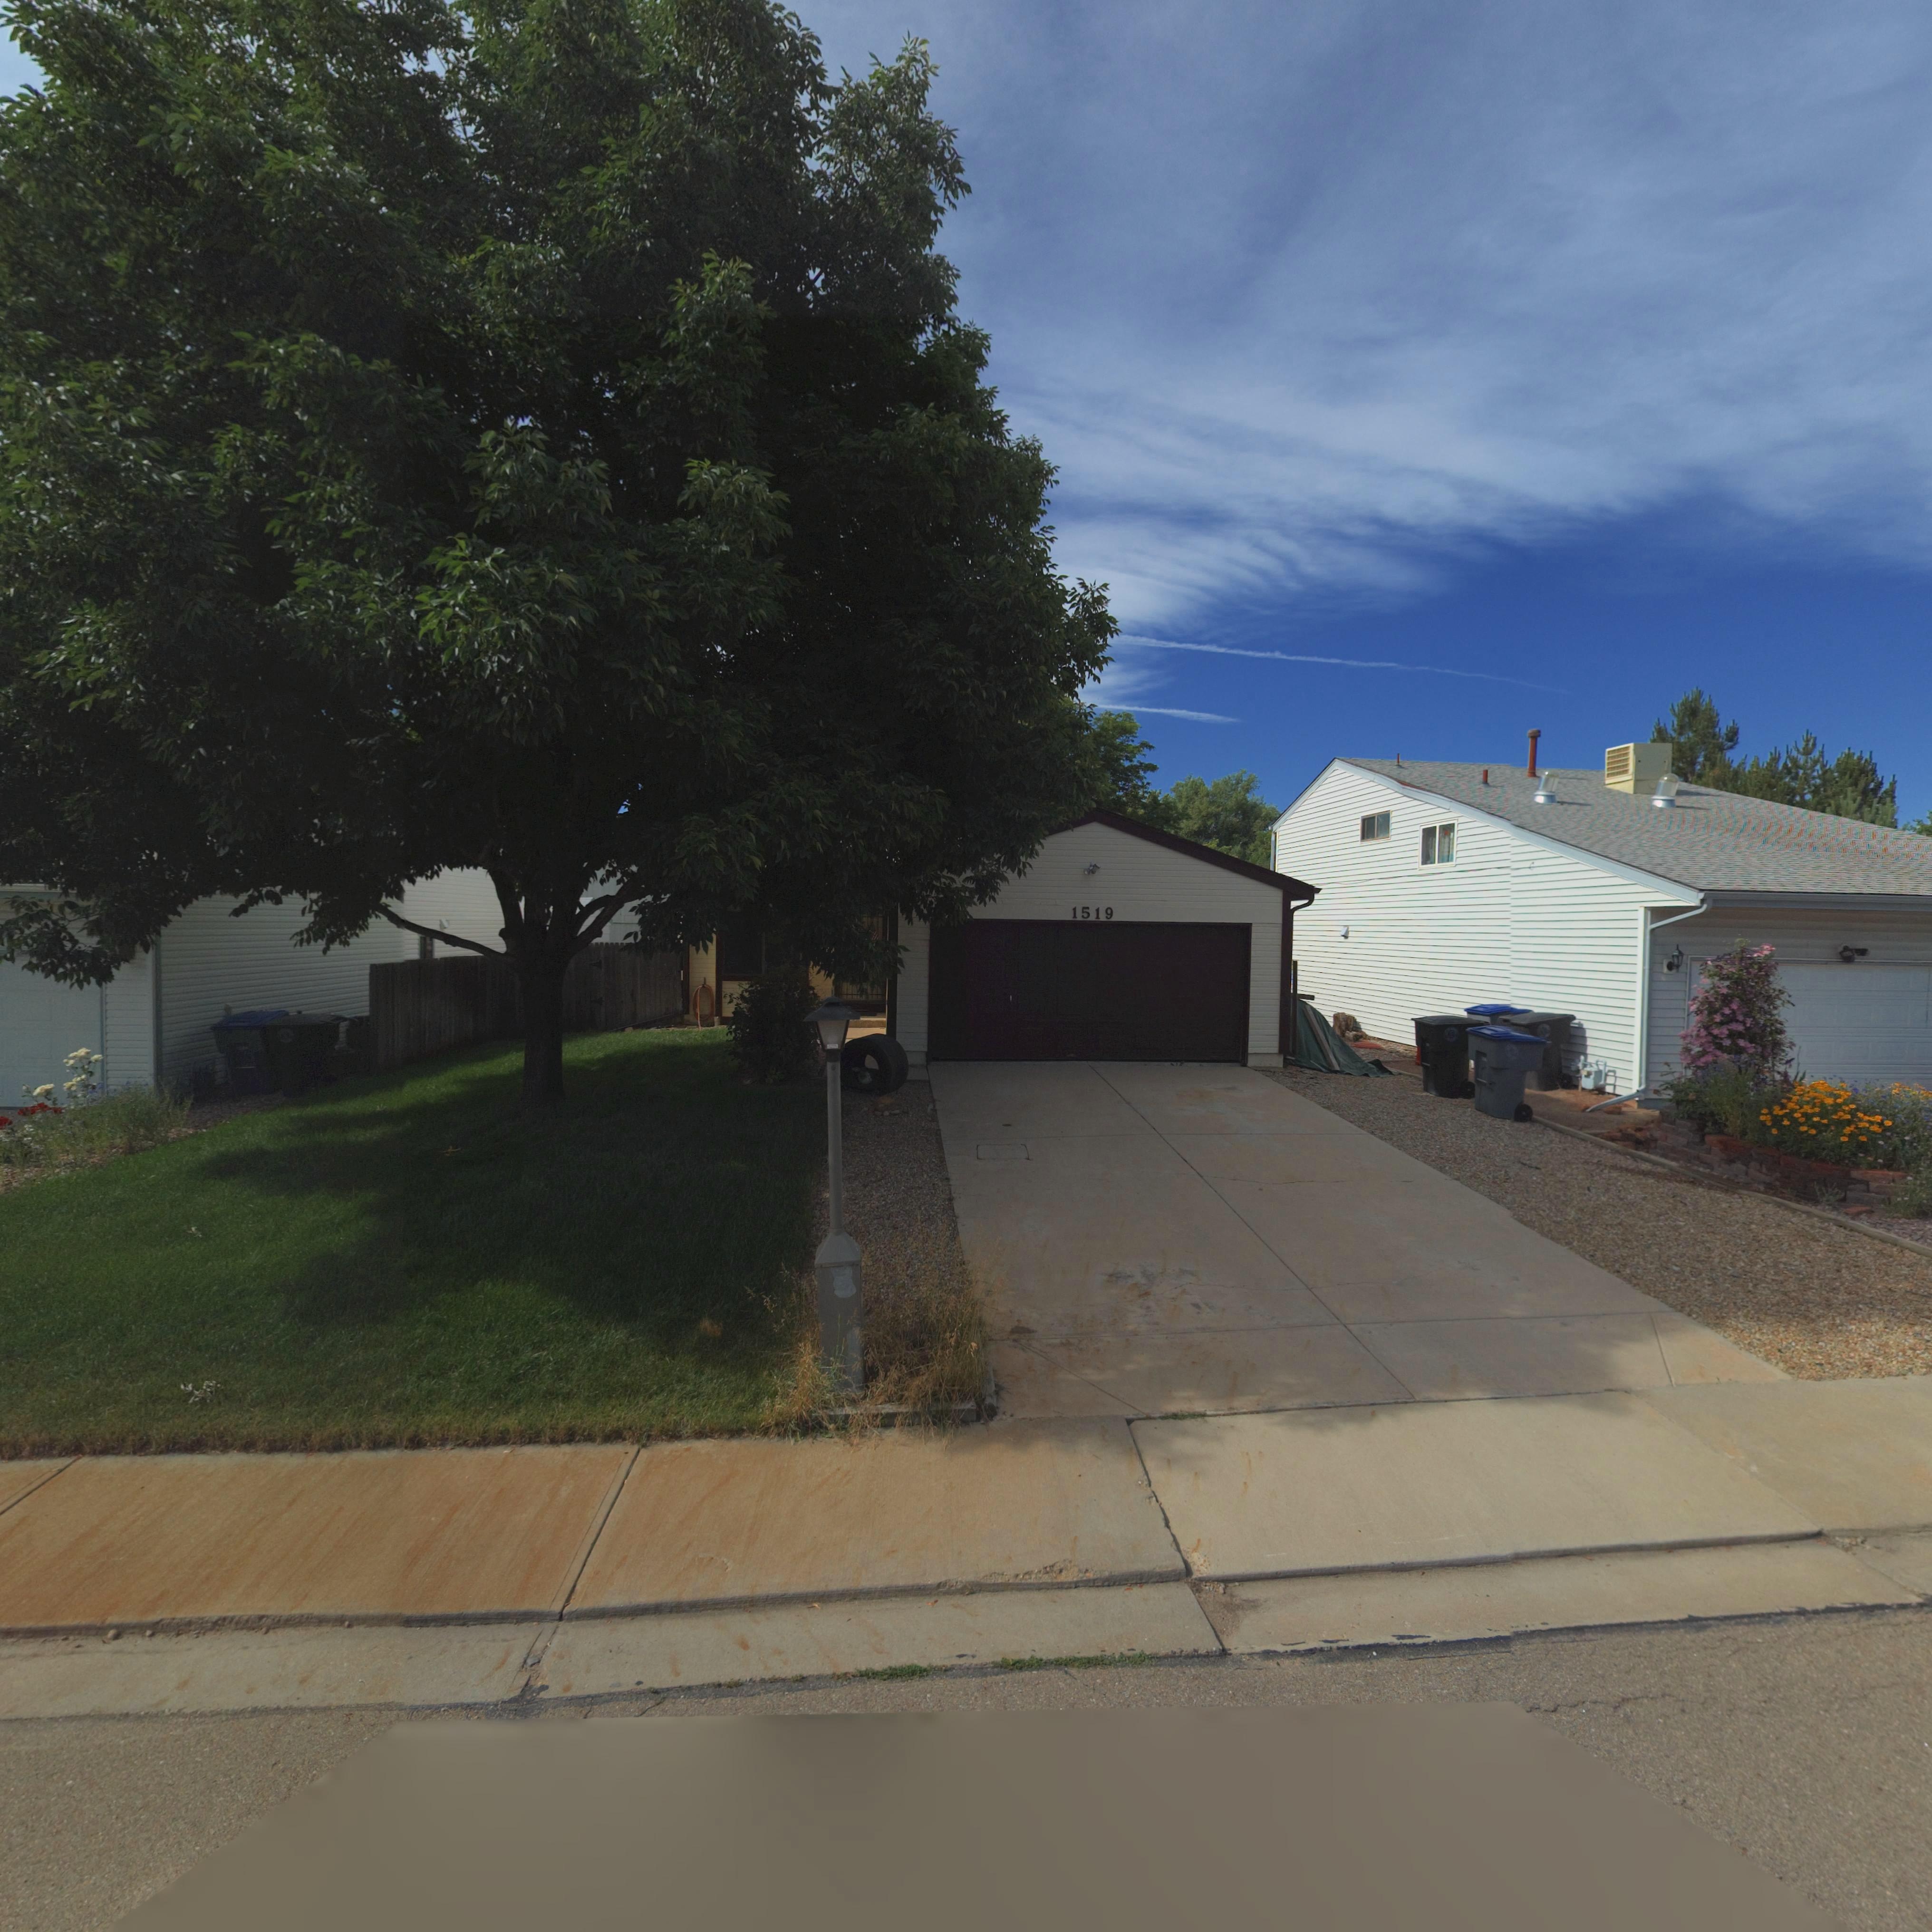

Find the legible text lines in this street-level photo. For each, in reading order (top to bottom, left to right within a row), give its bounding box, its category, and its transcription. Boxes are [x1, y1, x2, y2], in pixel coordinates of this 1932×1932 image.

[1072, 906, 1113, 919] StreetNumber: 1519